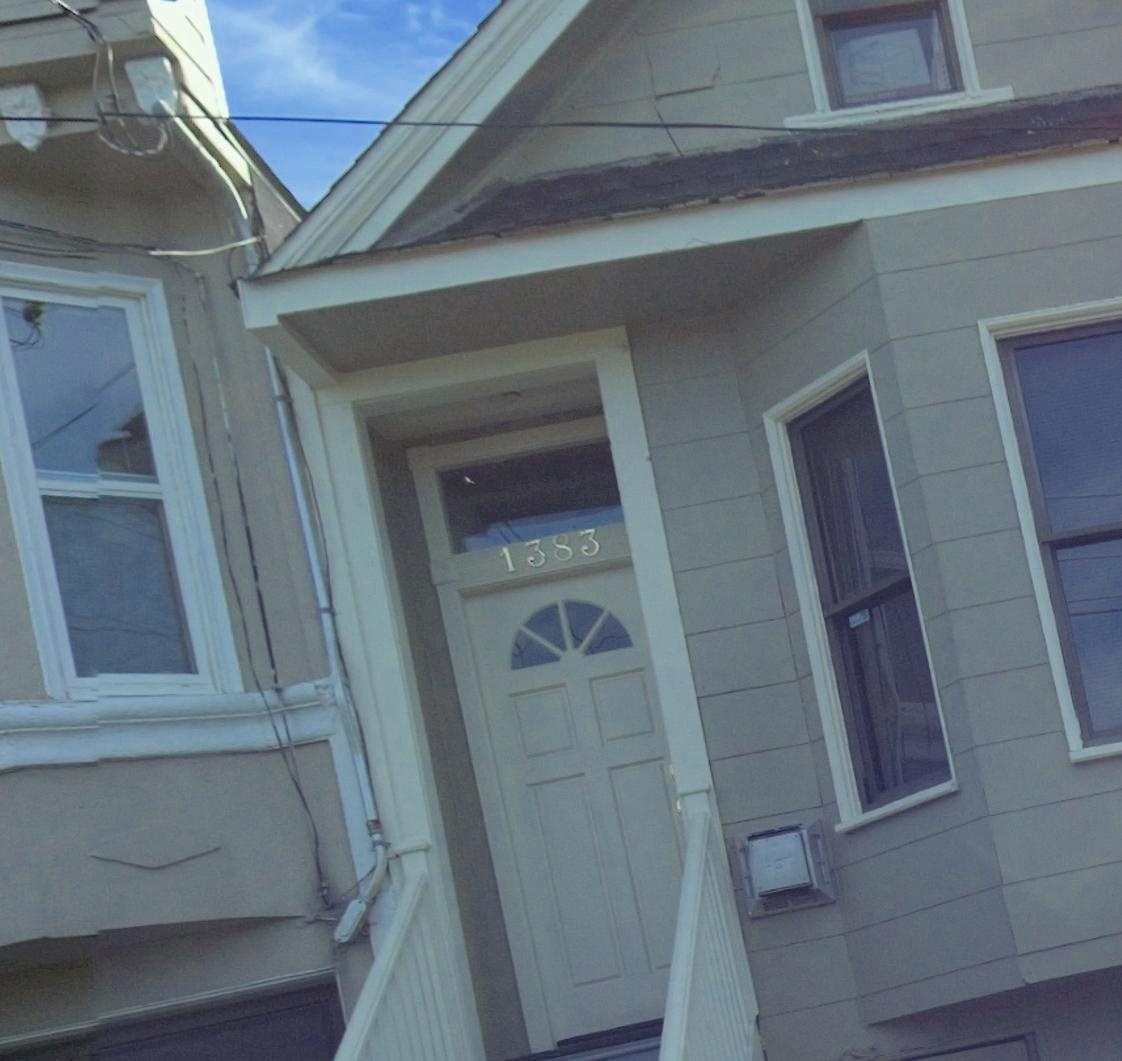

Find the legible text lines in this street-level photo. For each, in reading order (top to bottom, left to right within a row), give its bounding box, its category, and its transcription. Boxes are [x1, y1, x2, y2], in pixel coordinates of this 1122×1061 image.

[495, 526, 605, 577] StreetNumber: 1383